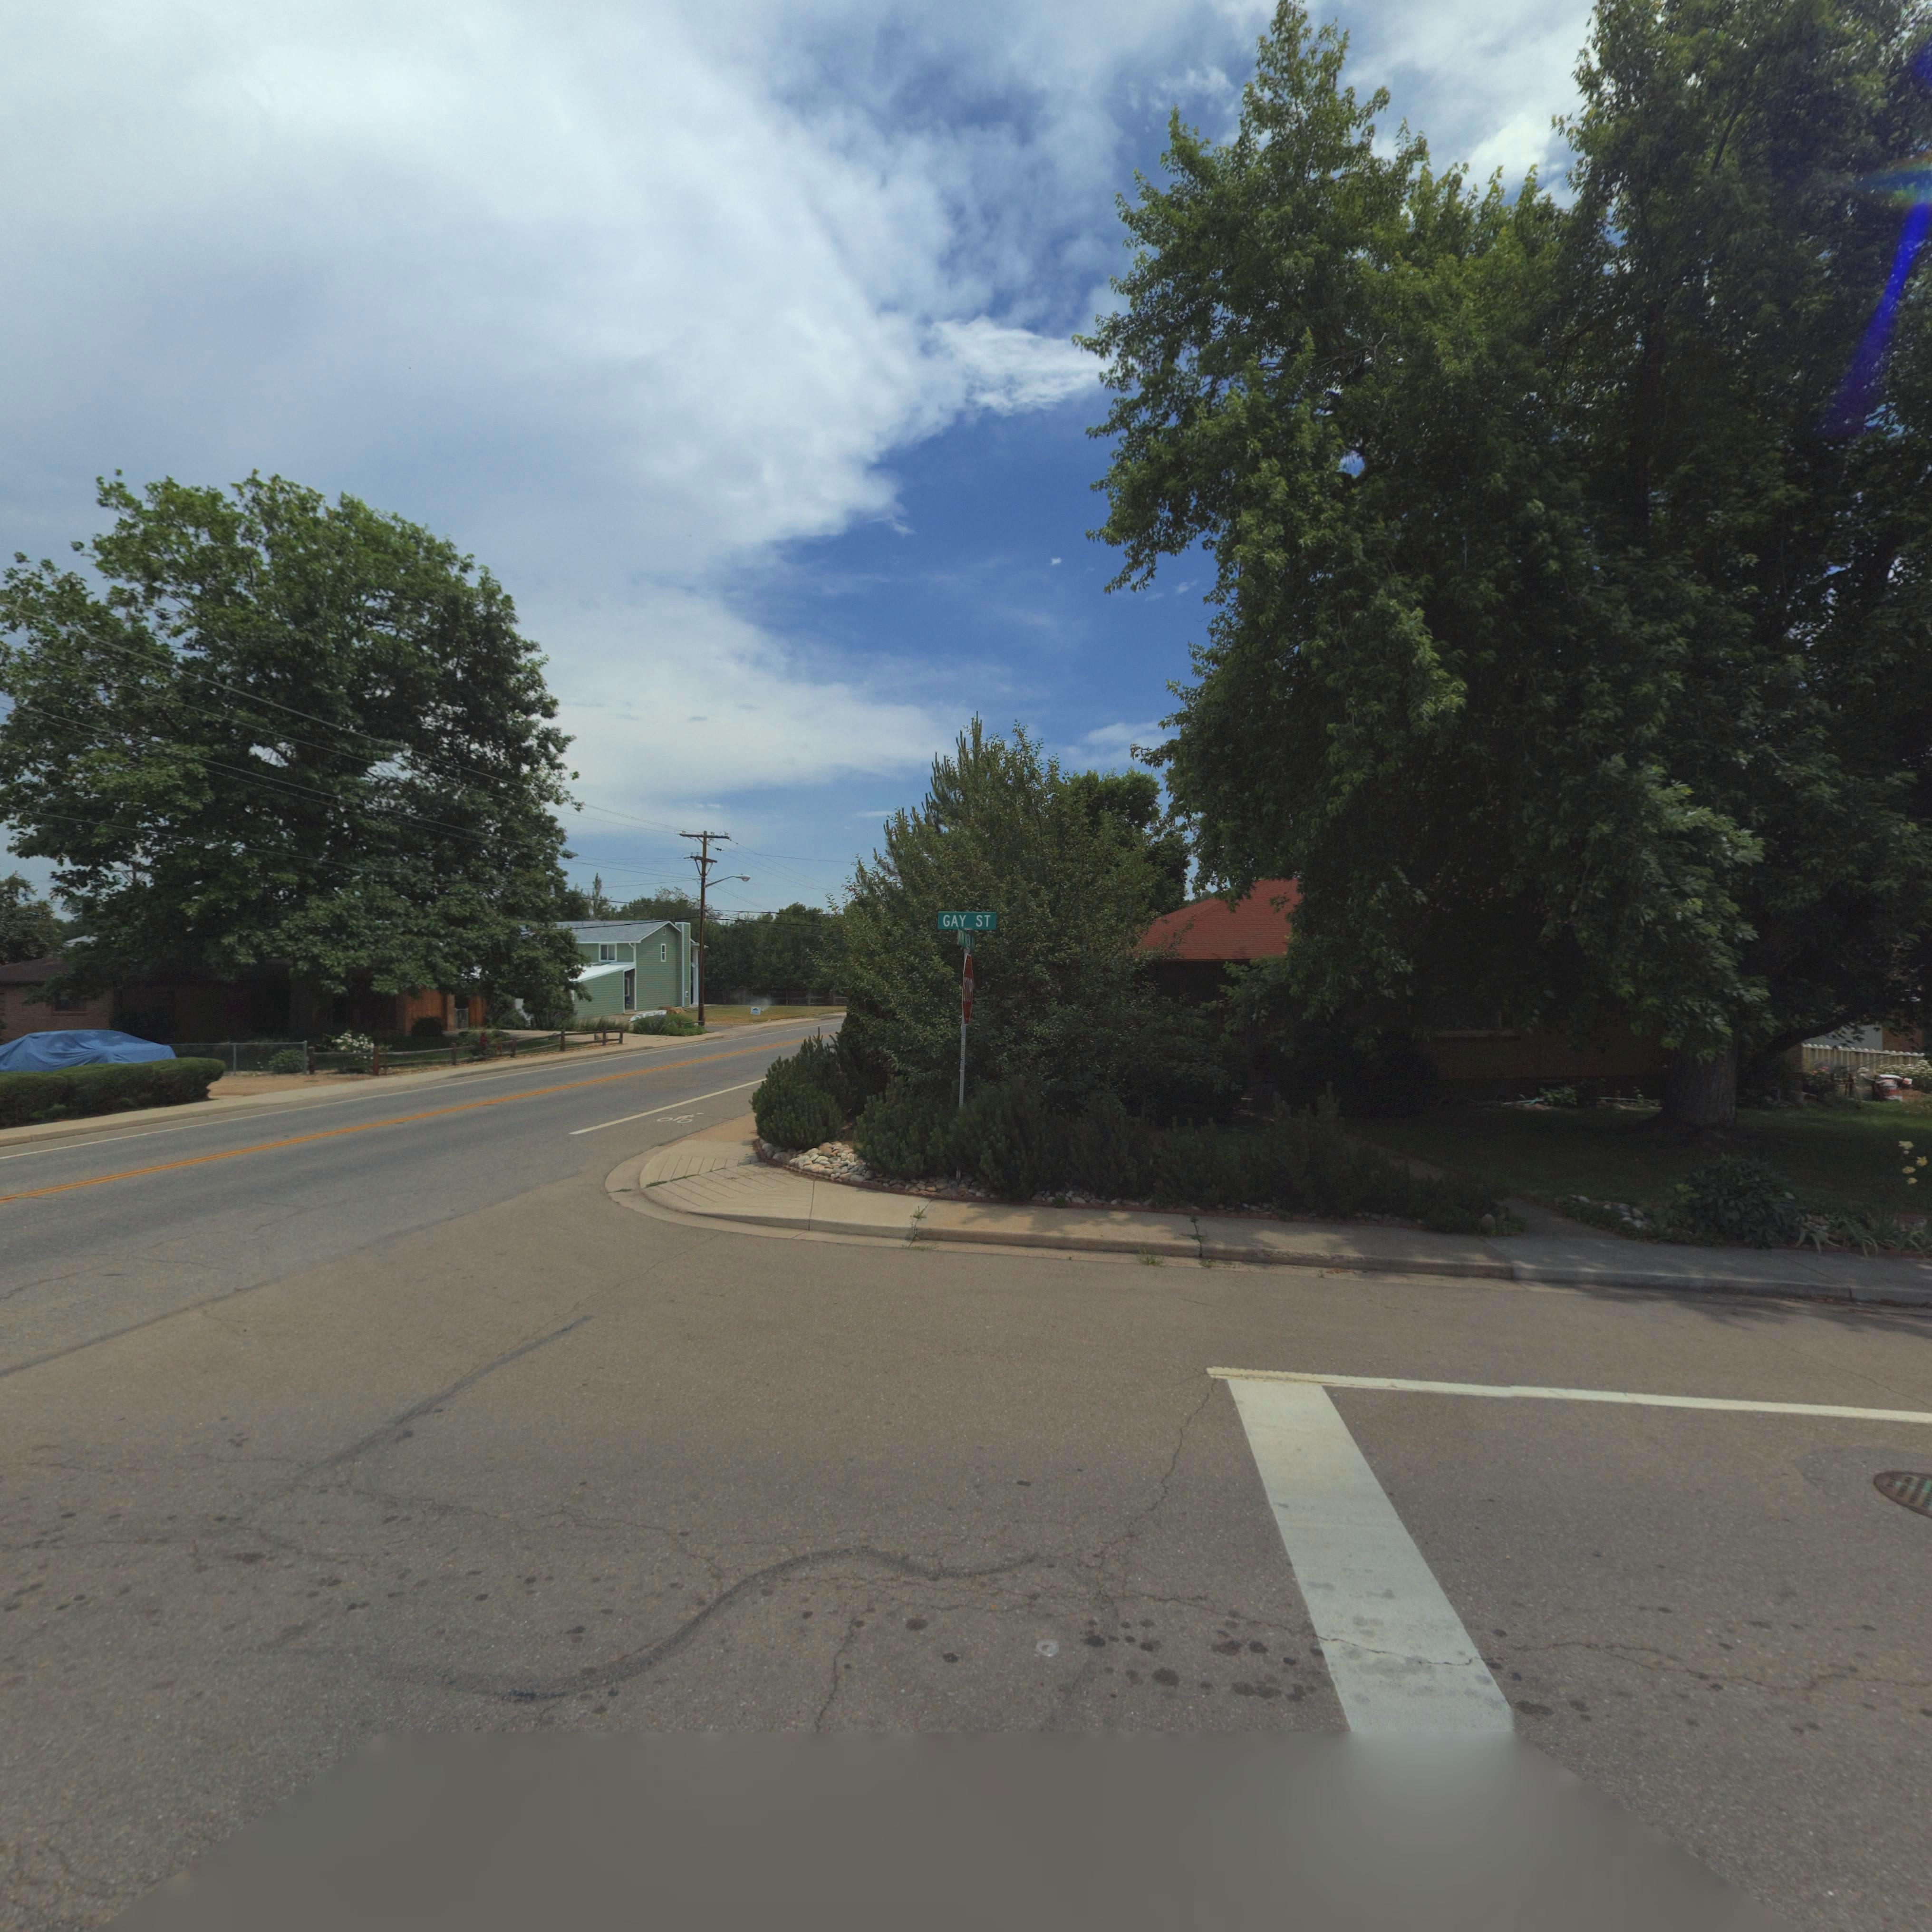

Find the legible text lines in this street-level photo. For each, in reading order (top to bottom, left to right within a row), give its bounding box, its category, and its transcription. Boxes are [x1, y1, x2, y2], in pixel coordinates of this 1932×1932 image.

[943, 915, 991, 928] StreetName: GAY ST
[957, 927, 975, 949] StreetName: *T* V*E* A*